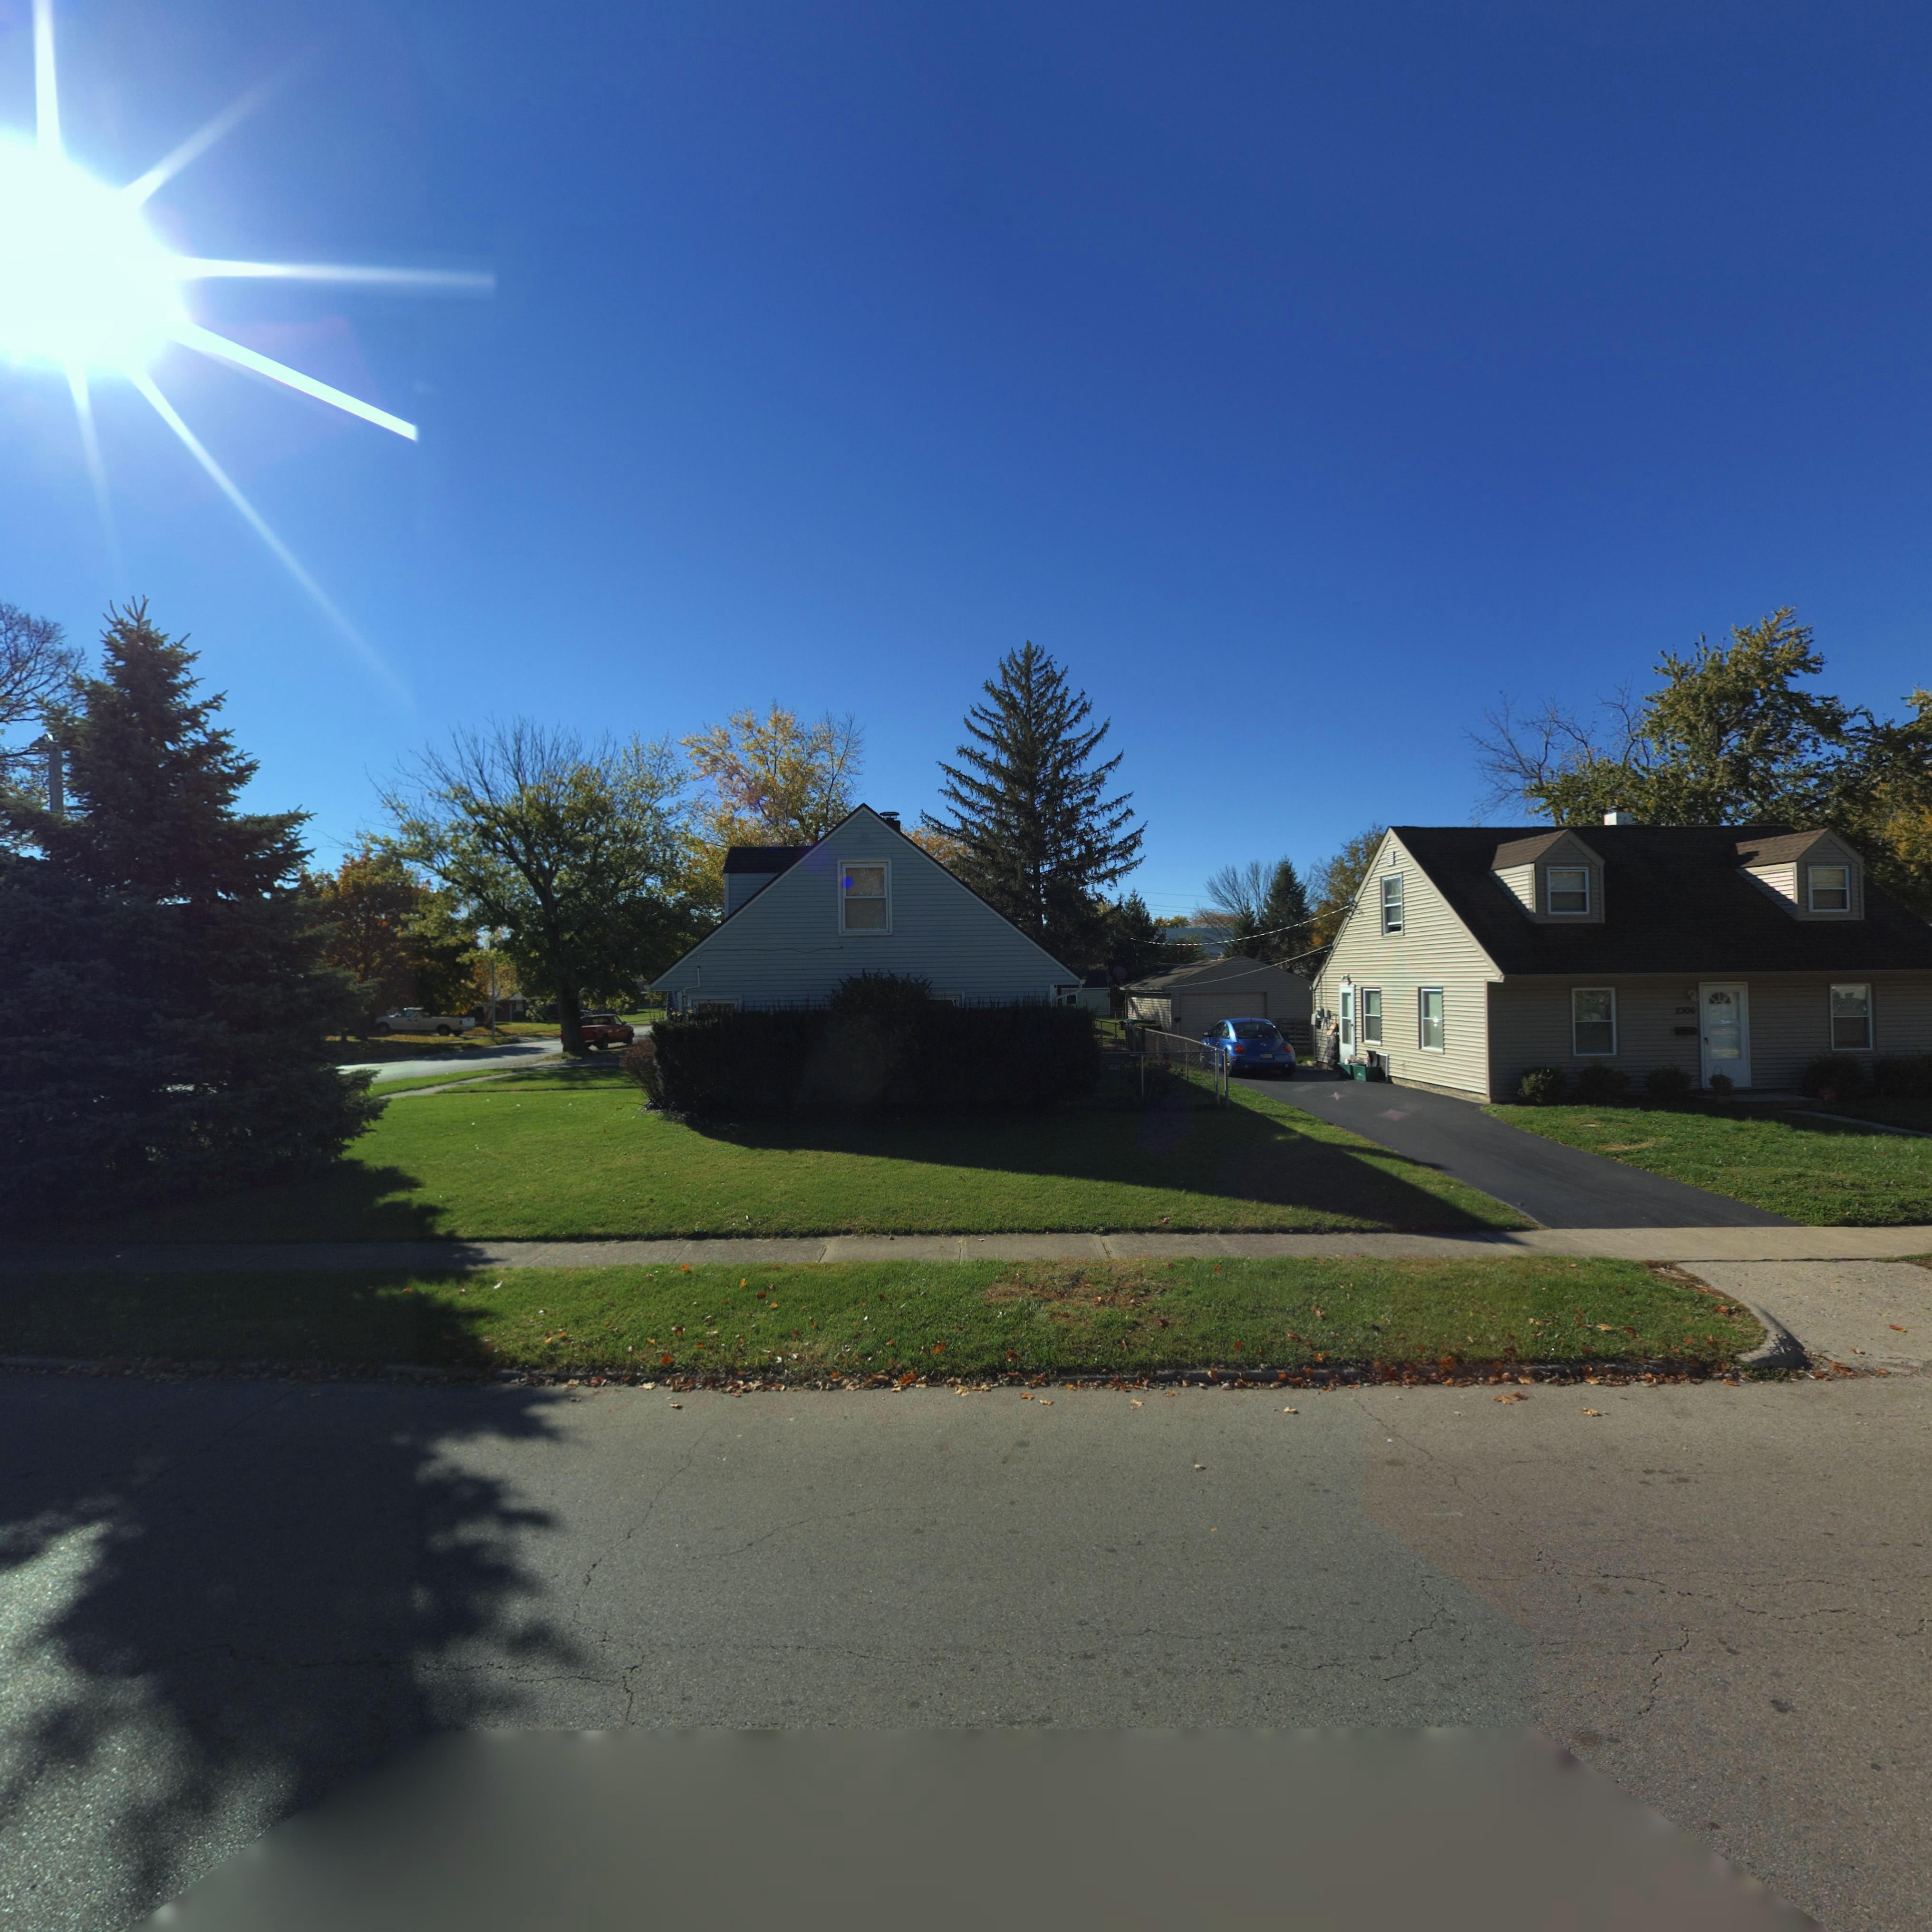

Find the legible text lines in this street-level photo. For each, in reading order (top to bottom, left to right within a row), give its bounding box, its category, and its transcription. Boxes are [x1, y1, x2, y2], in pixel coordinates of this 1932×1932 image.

[1675, 1006, 1696, 1014] StreetNumber: 2306